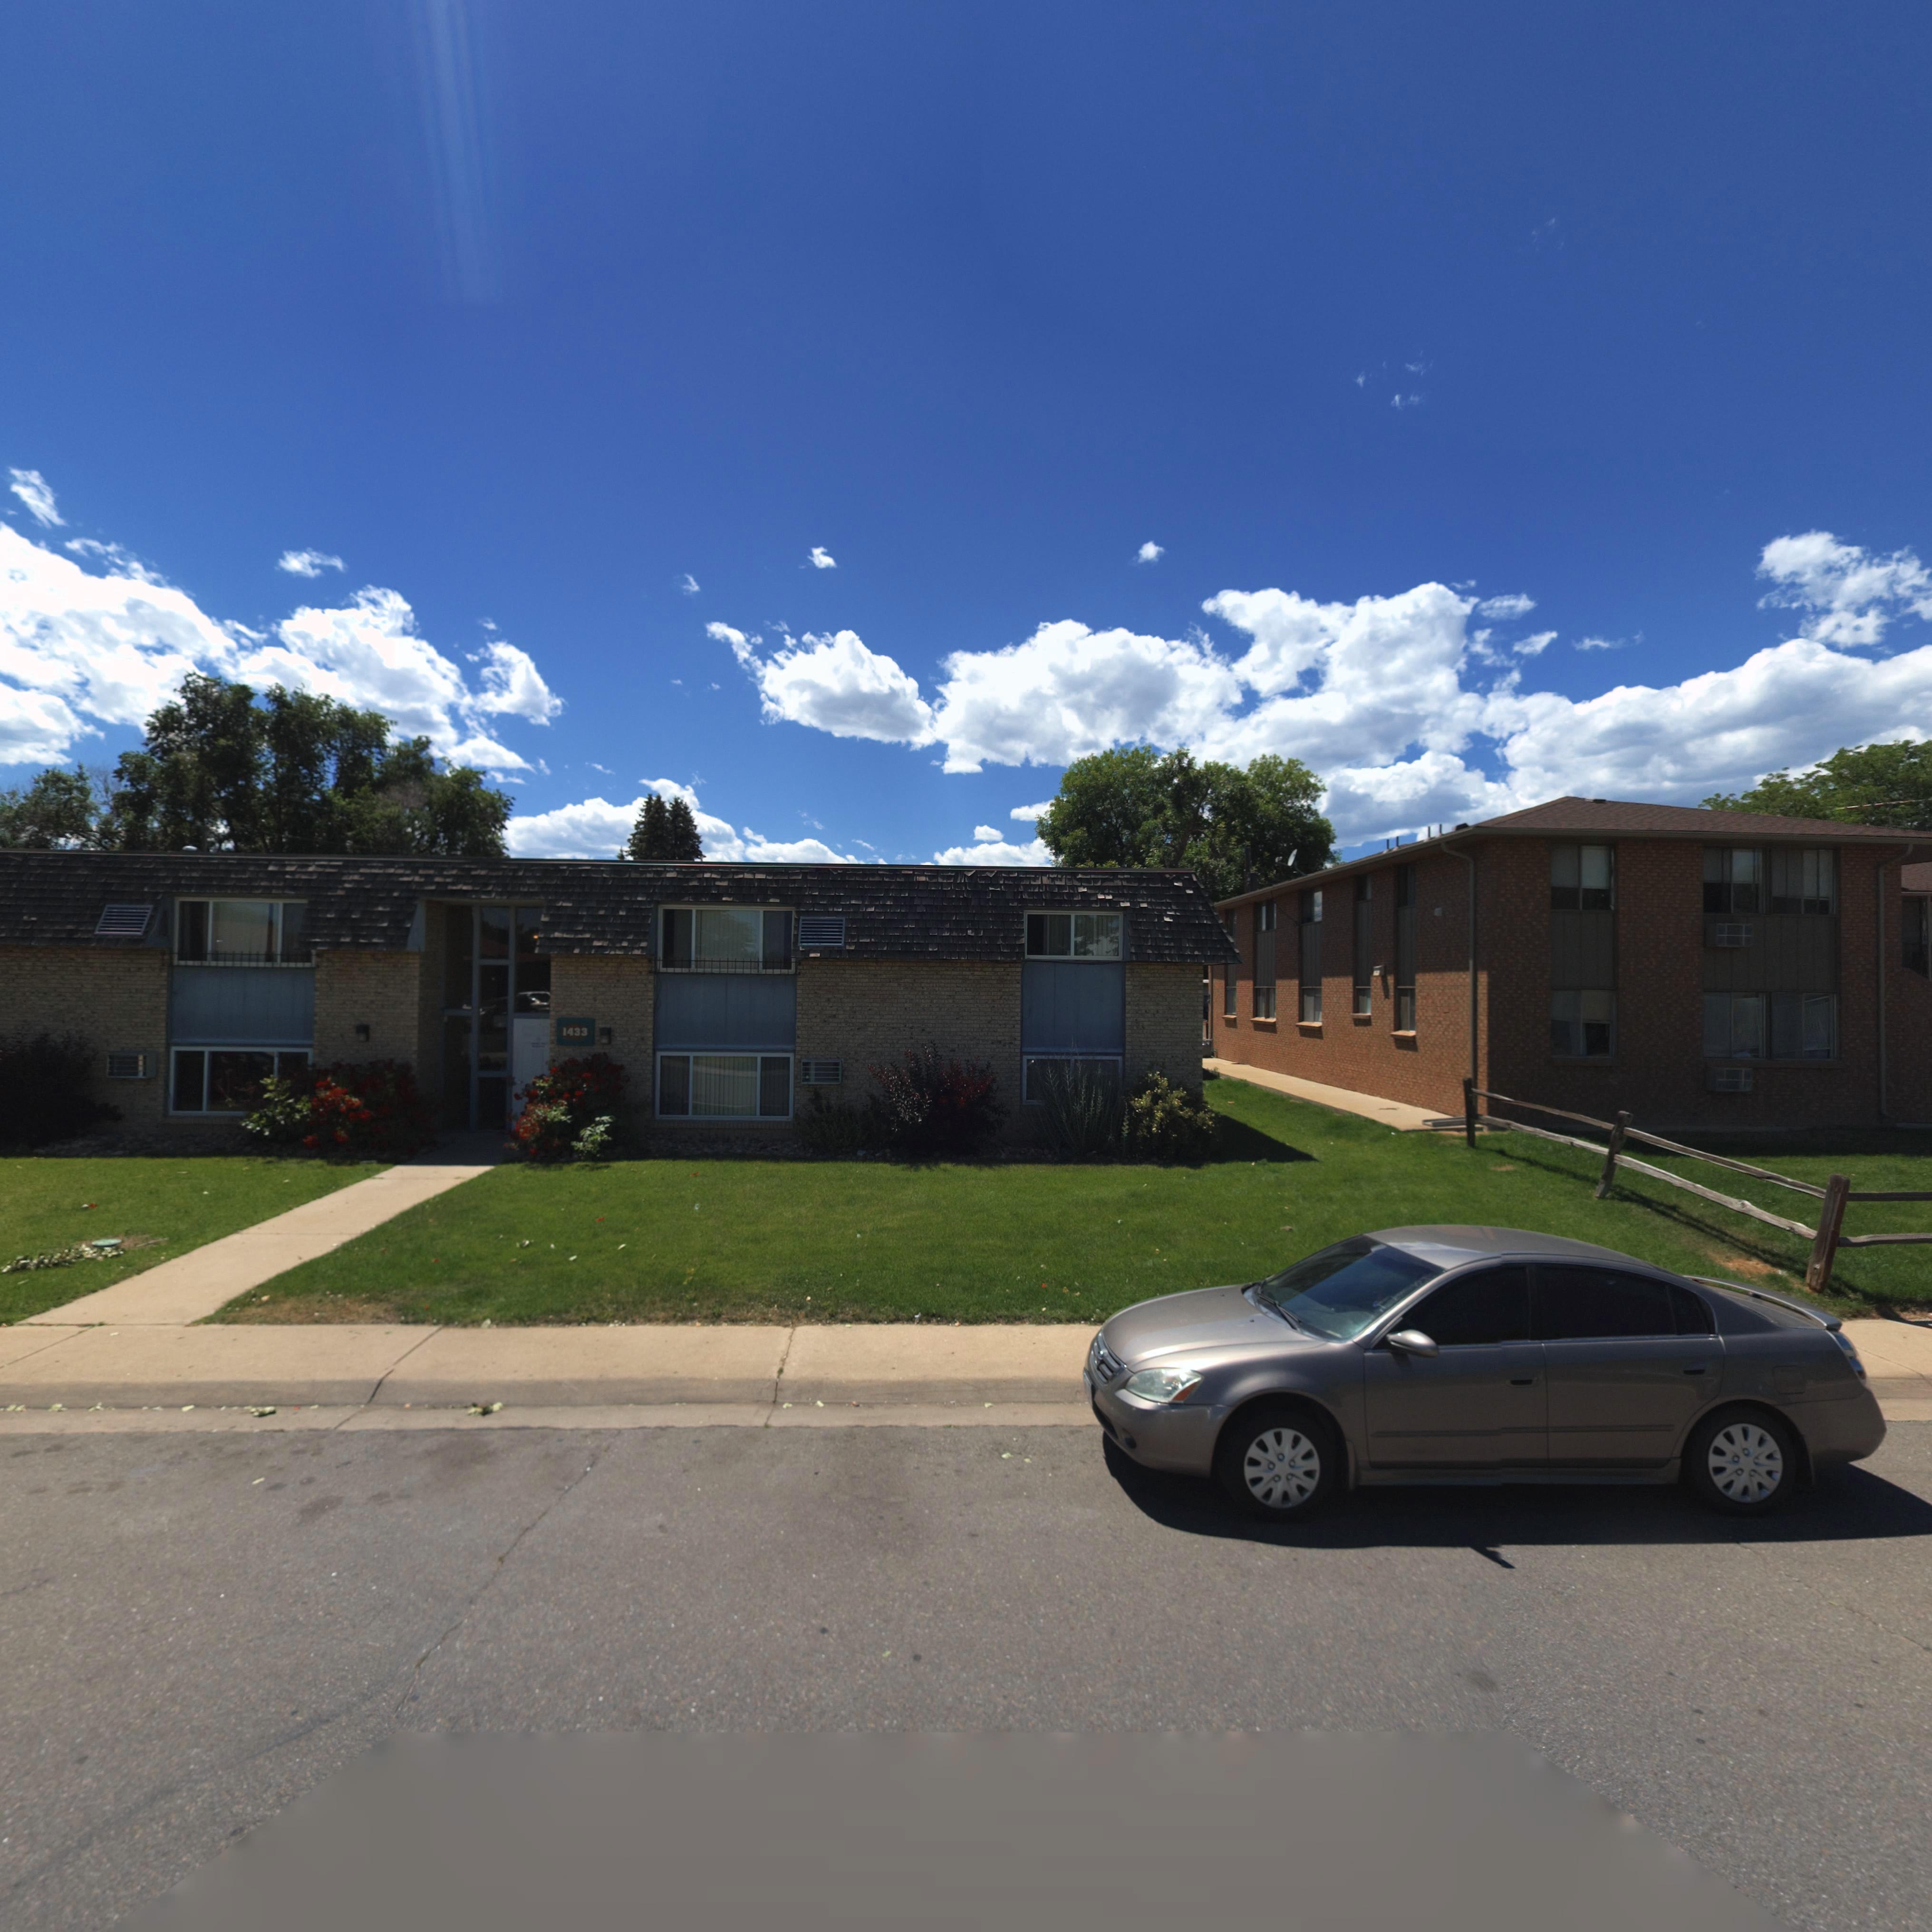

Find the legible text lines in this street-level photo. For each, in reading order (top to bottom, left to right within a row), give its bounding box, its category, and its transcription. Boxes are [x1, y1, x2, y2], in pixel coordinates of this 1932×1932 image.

[562, 1026, 588, 1036] StreetNumber: 1433